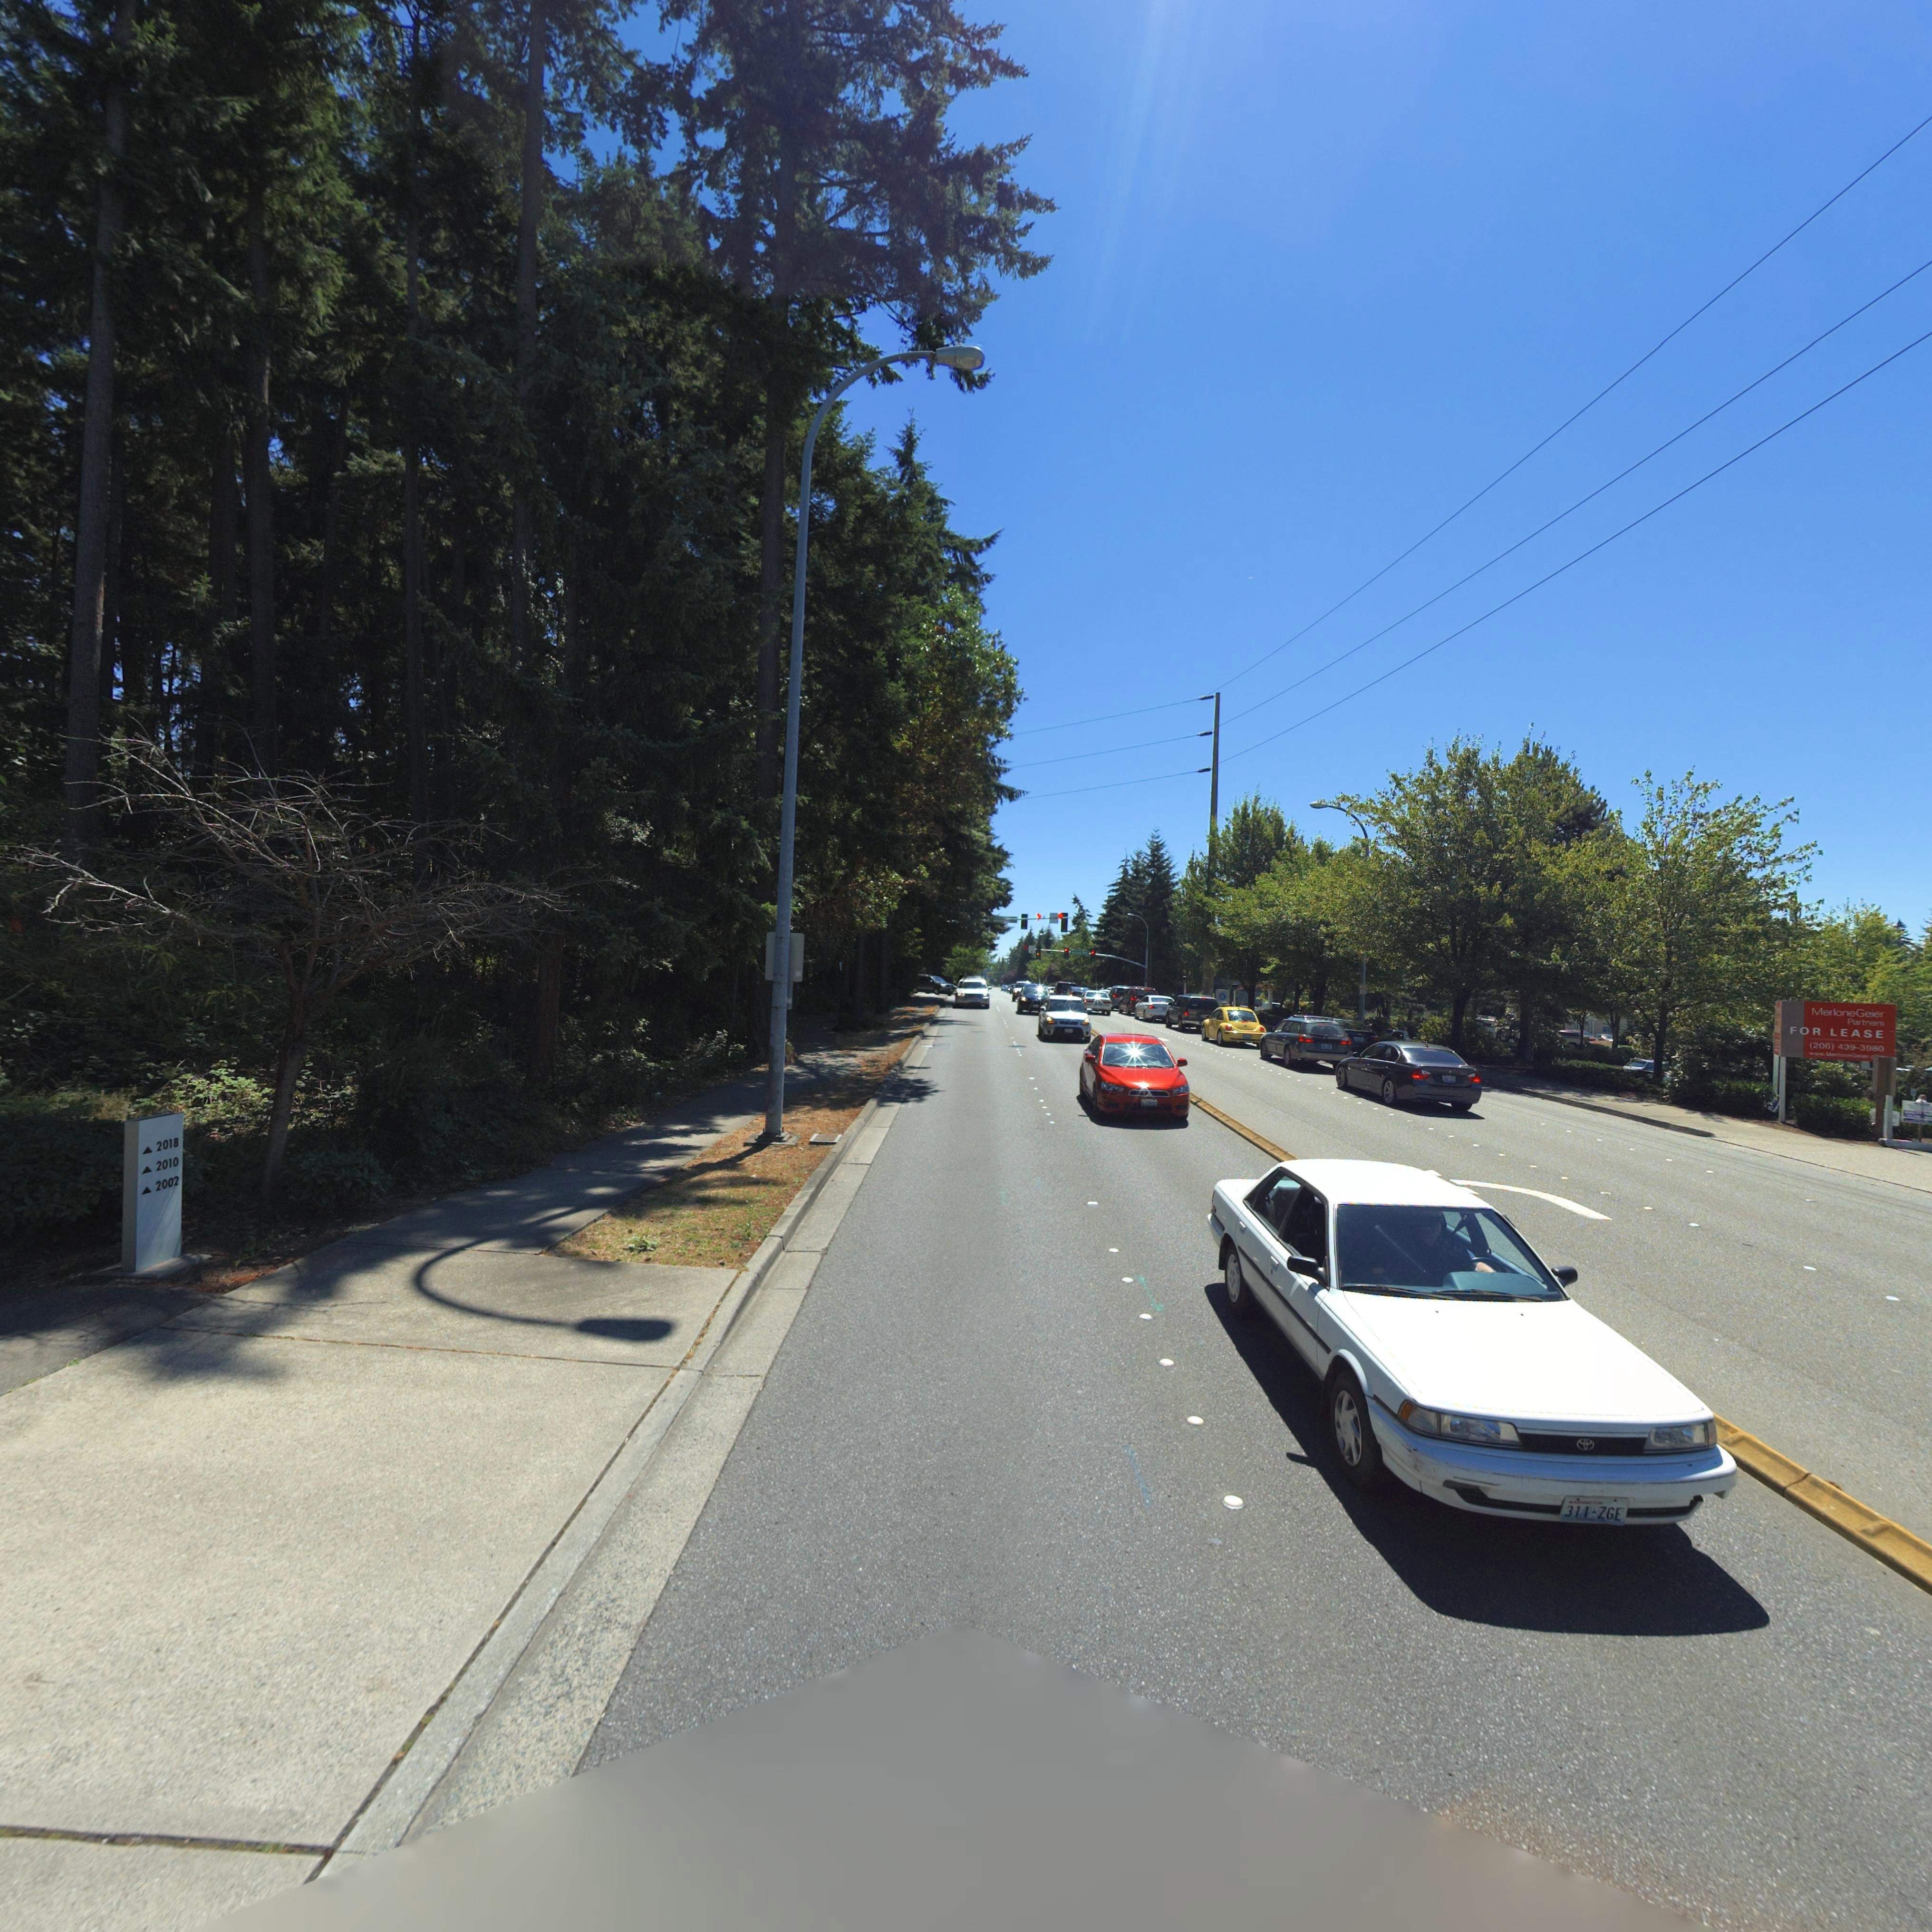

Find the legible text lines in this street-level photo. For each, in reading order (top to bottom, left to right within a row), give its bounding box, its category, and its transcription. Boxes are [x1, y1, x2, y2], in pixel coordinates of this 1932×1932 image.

[156, 1137, 179, 1151] StreetNumber: 2018
[155, 1156, 179, 1171] StreetNumber: 2010
[155, 1174, 179, 1192] StreetNumber: 2002